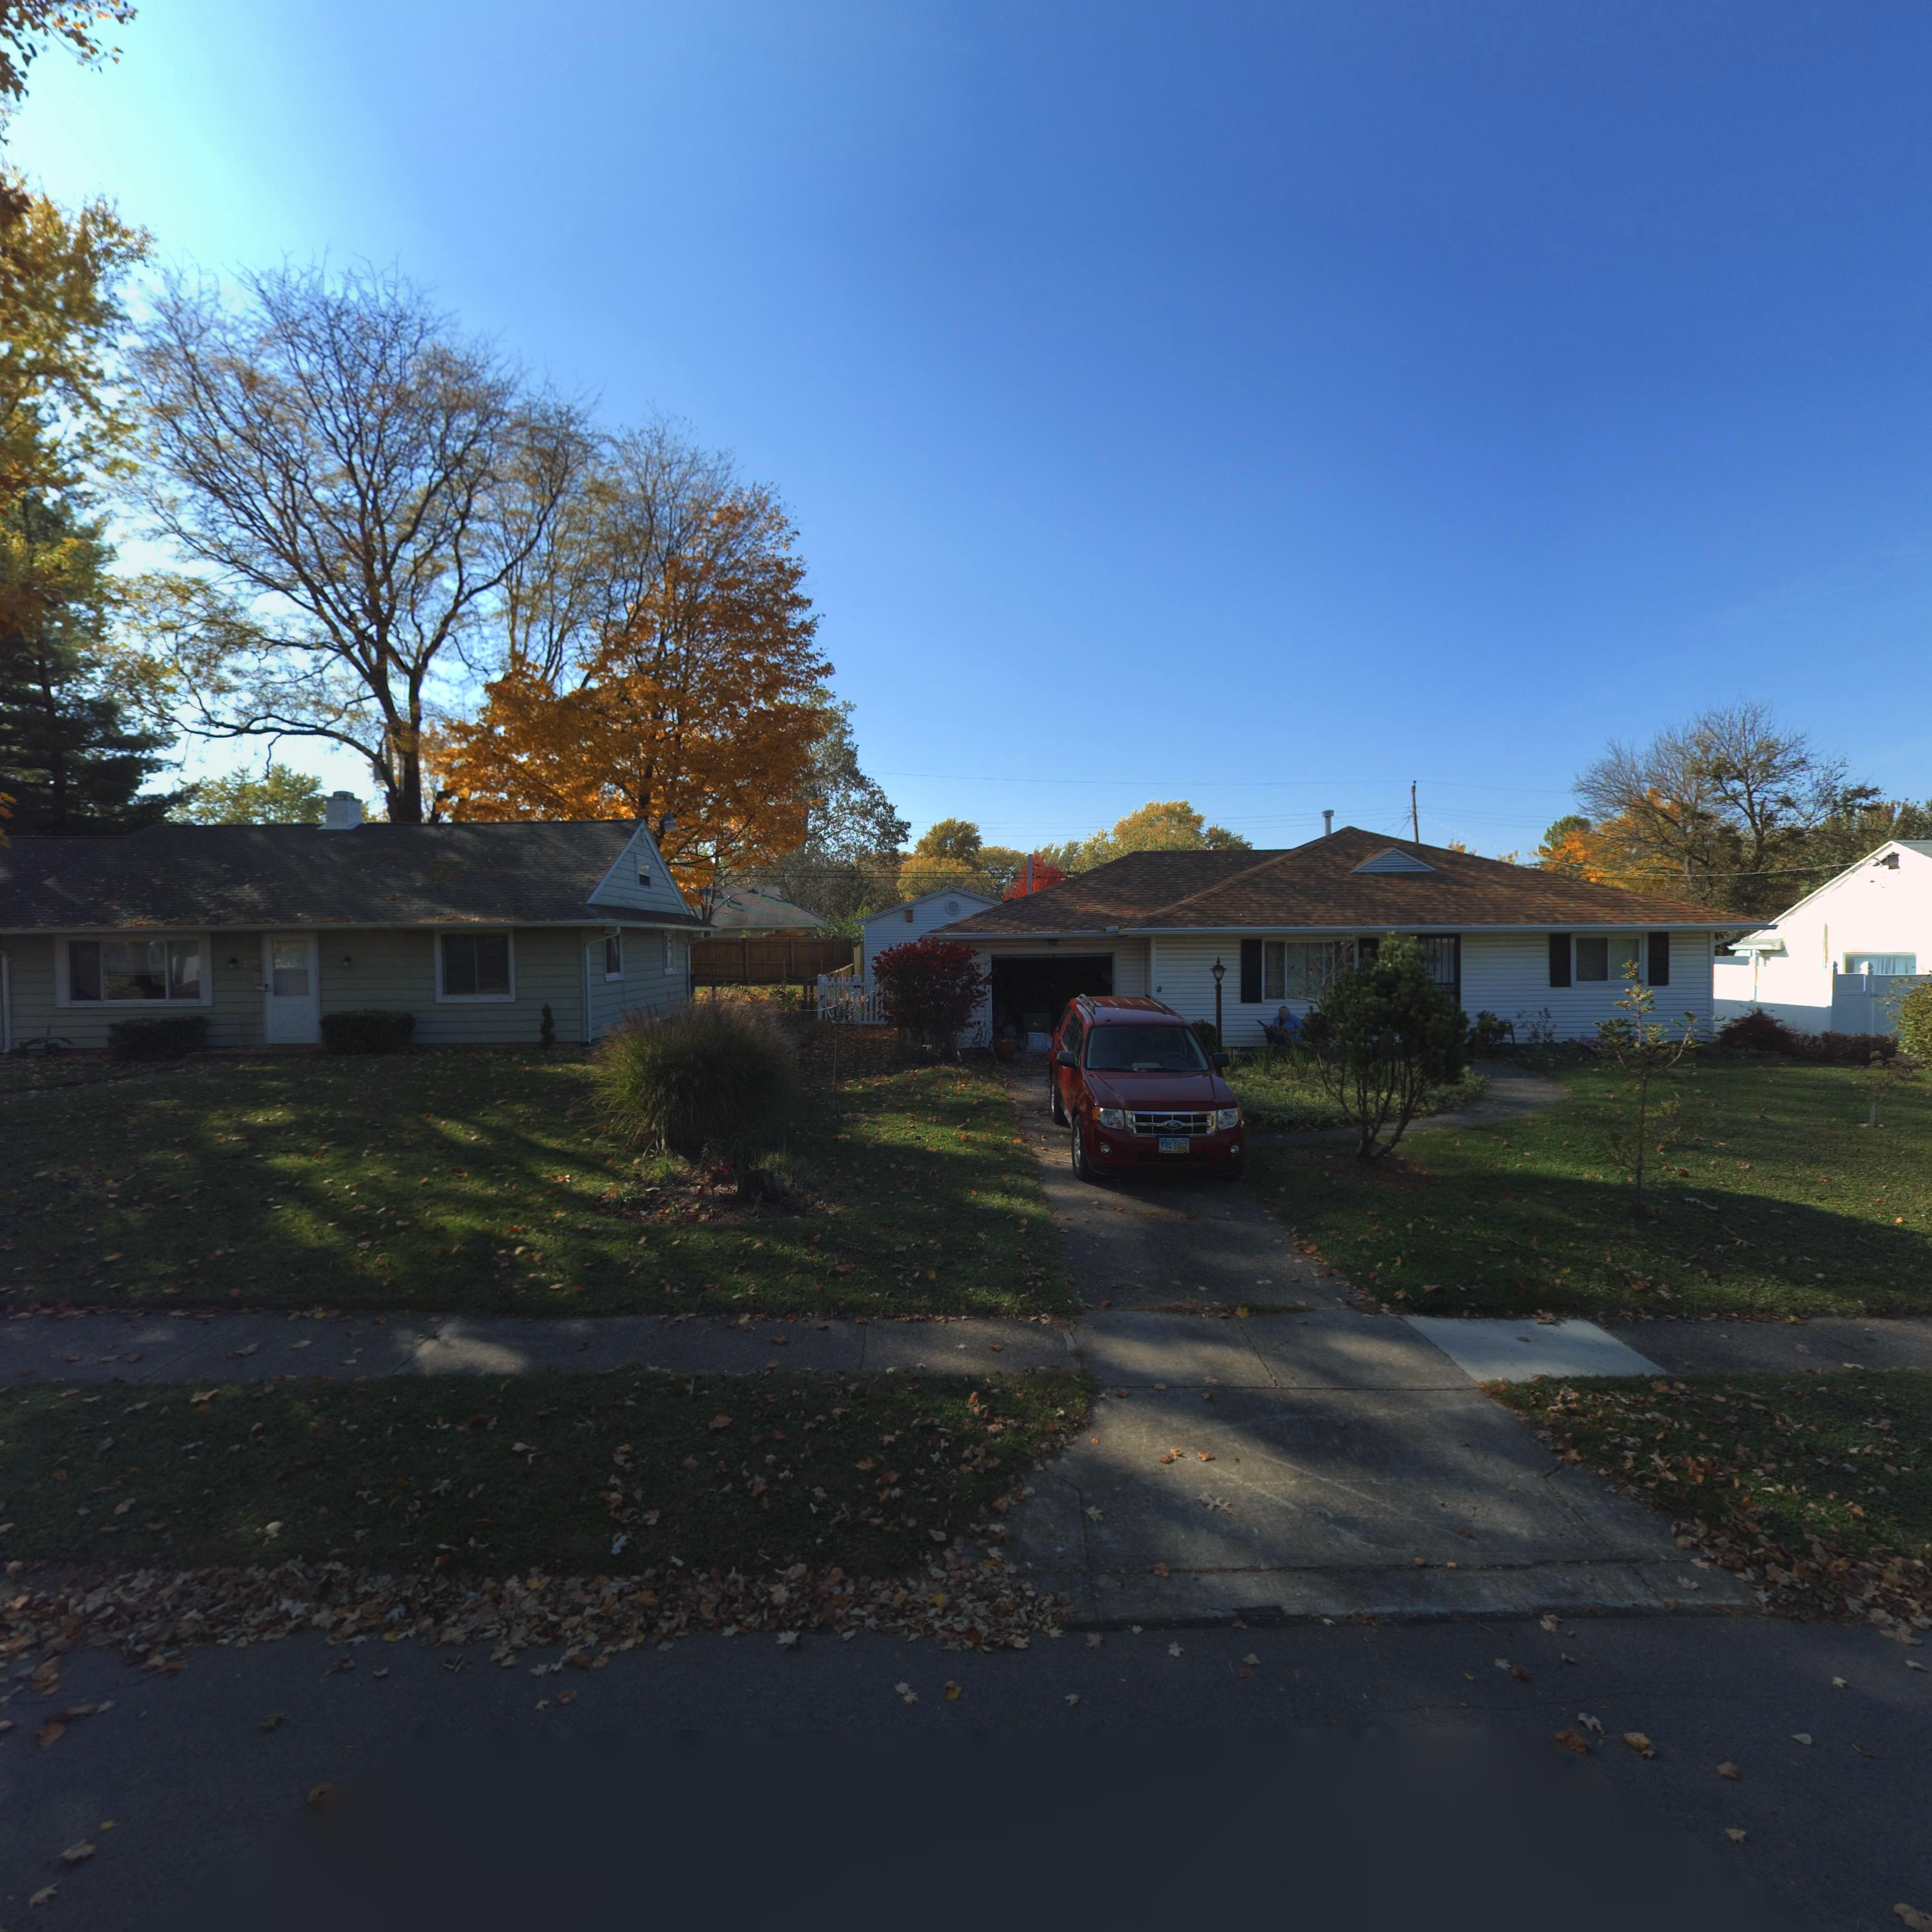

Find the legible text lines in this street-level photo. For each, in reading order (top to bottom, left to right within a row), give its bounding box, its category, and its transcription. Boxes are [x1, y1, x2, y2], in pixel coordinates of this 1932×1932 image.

[1161, 1141, 1188, 1150] None: FHQ*9402